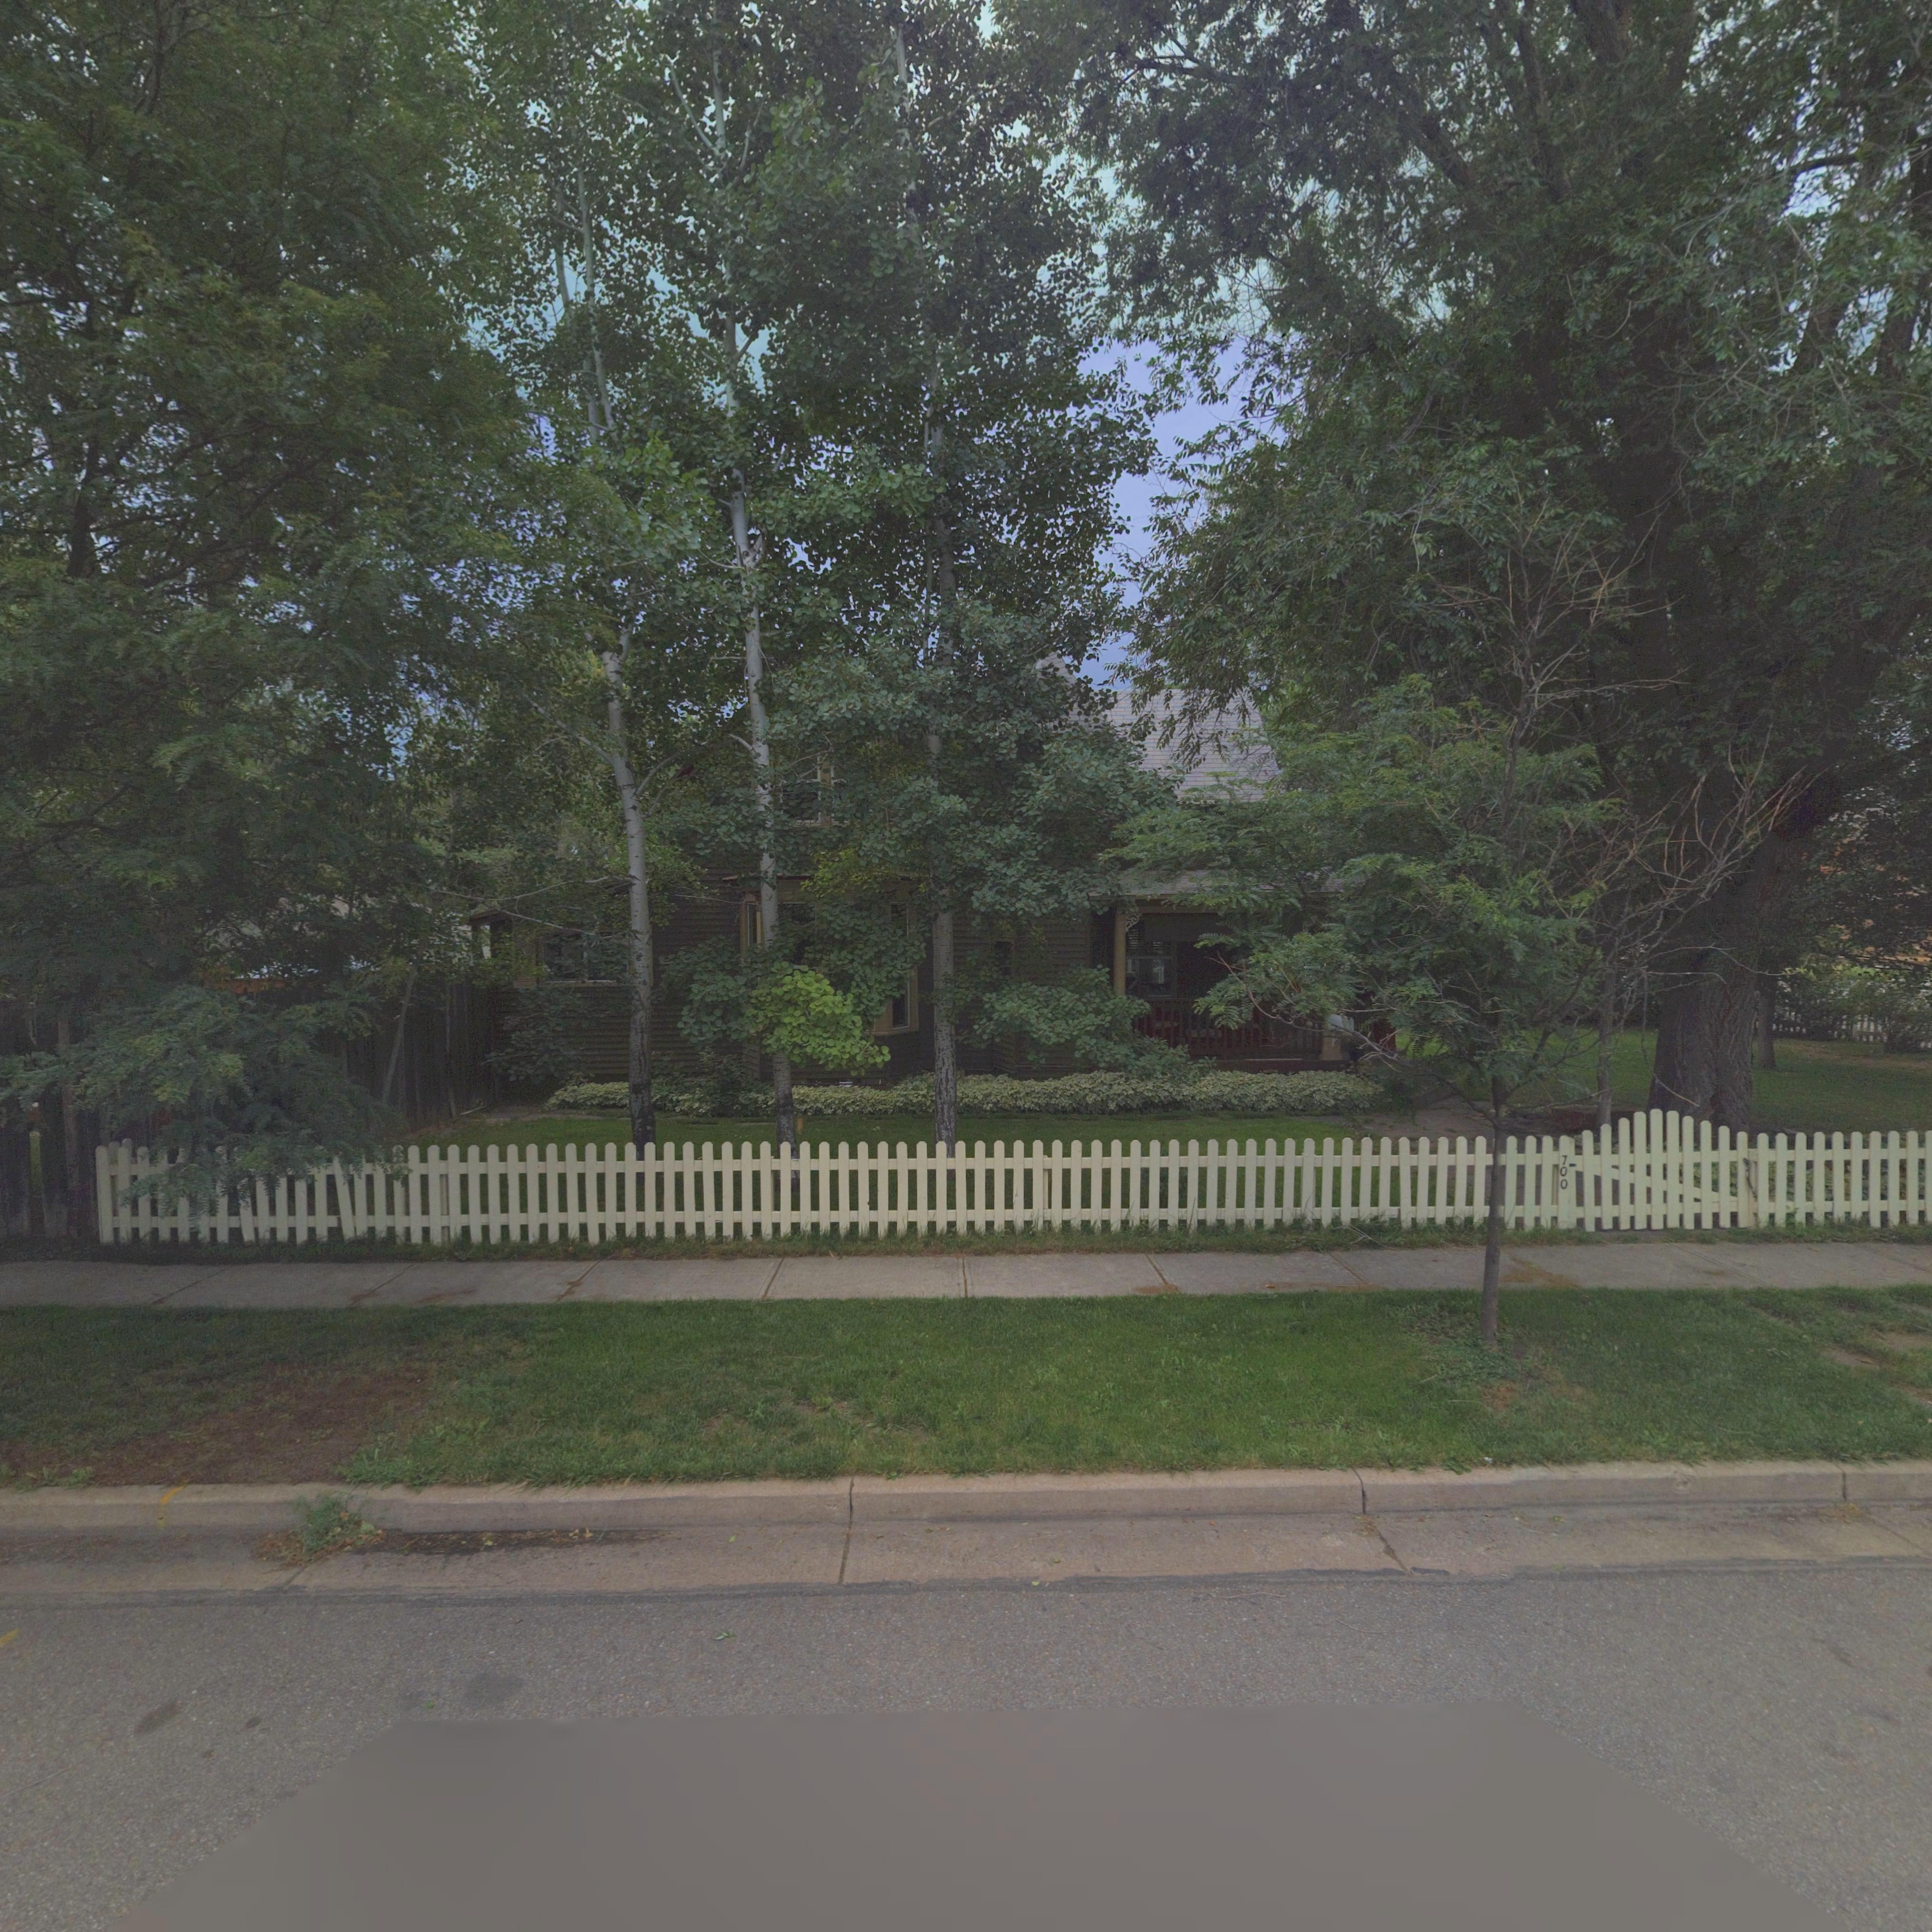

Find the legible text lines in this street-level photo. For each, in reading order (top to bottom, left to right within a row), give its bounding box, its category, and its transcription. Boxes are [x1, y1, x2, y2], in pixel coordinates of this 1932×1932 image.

[1559, 1154, 1568, 1189] StreetNumber: 700